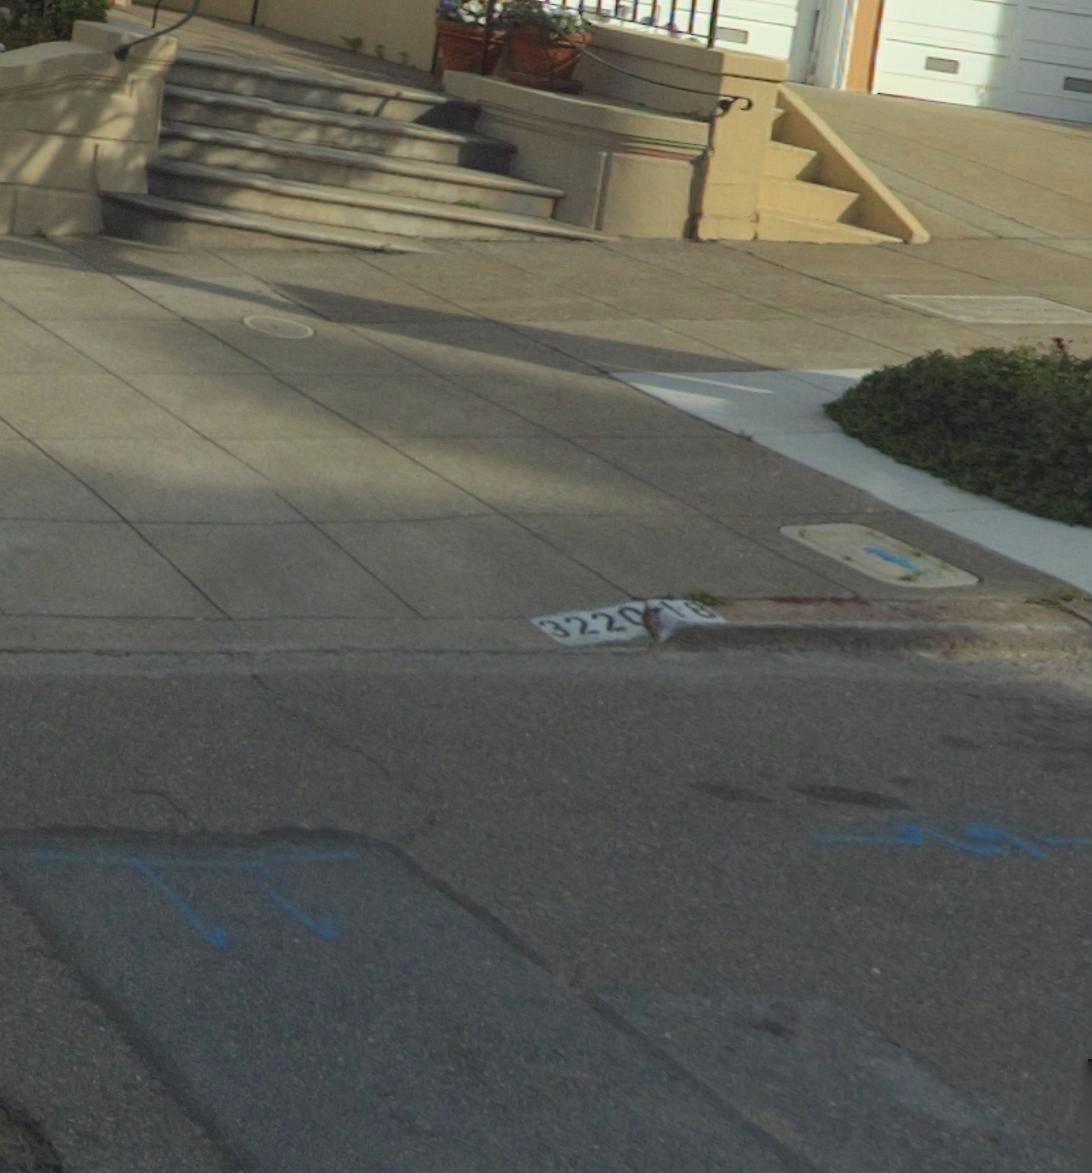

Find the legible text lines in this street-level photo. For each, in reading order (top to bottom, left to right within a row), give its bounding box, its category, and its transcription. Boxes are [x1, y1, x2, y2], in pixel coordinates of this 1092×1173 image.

[528, 597, 723, 643] StreetNumber: 3220*18